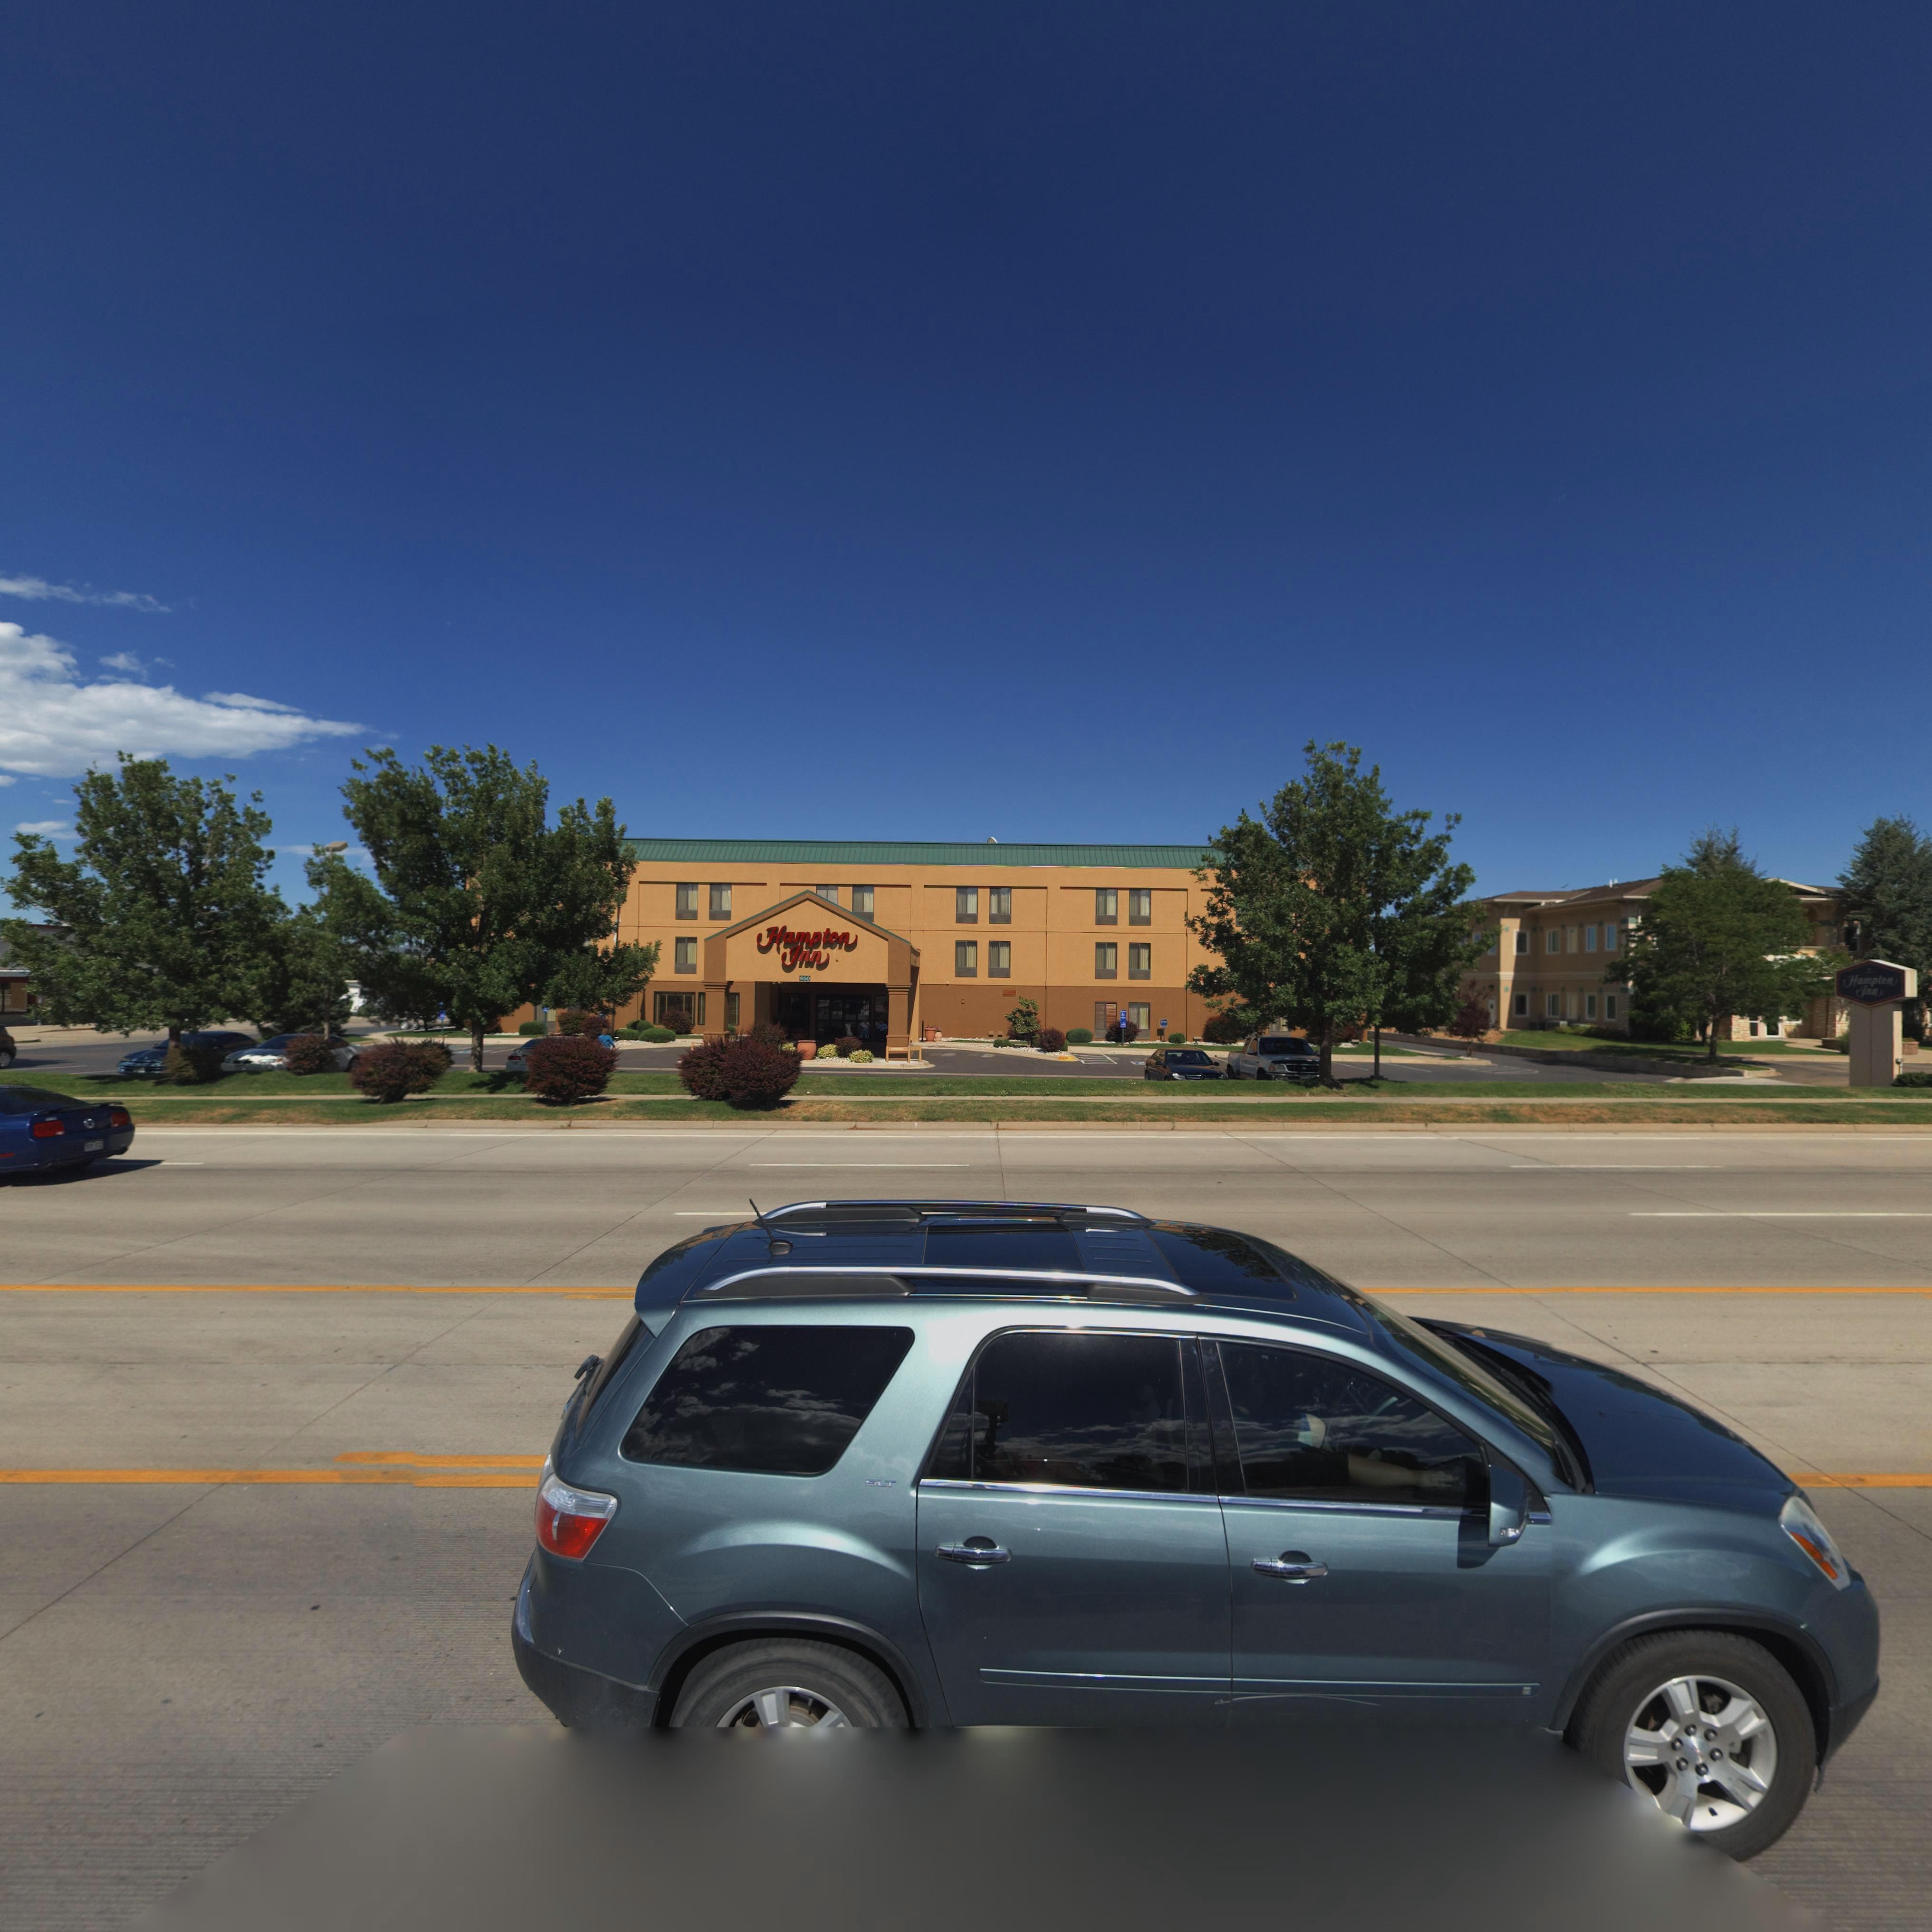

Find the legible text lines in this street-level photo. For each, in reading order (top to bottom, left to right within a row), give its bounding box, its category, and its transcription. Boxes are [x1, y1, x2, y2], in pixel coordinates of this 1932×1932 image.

[756, 924, 859, 949] BusinessName: Hampton
[780, 944, 831, 968] BusinessName: Inn
[800, 976, 810, 980] StreetNumber: 850
[1842, 974, 1899, 989] BusinessName: Hampton
[1854, 984, 1884, 998] BusinessName: Inn